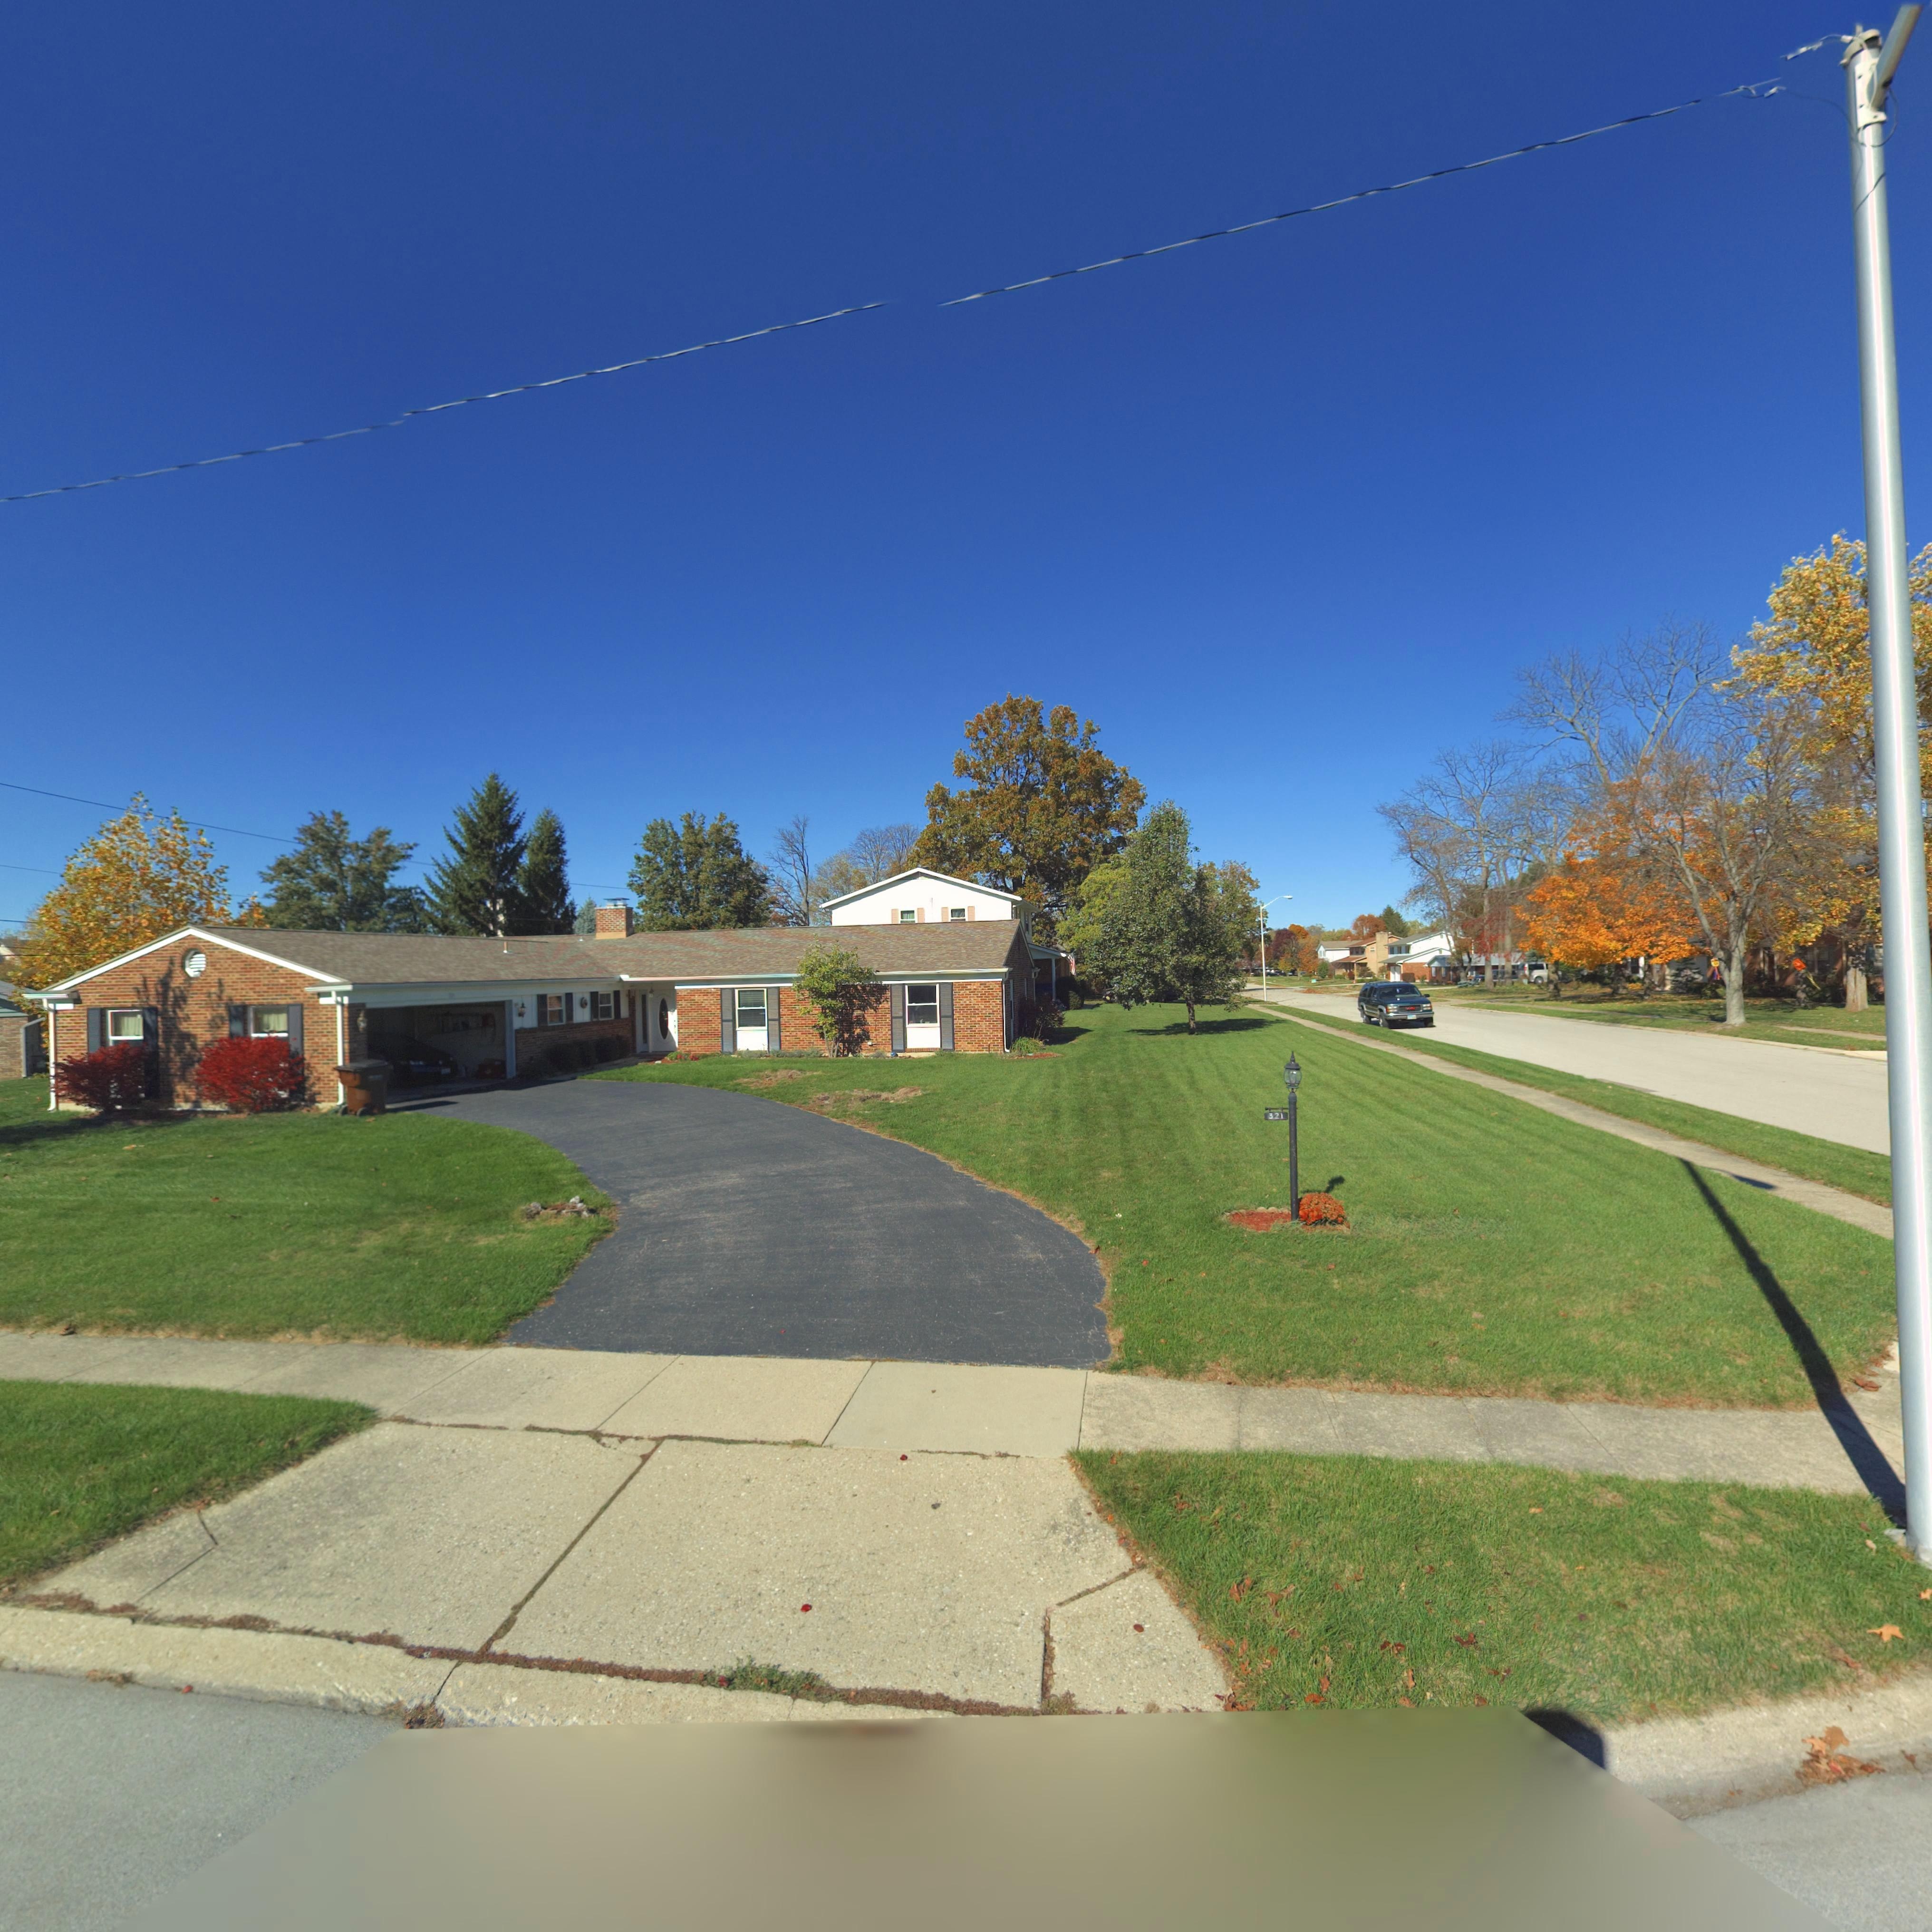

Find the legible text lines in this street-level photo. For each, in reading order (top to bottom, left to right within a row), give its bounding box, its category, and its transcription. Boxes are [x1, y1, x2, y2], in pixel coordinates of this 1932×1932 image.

[1268, 1111, 1284, 1120] StreetNumber: 321